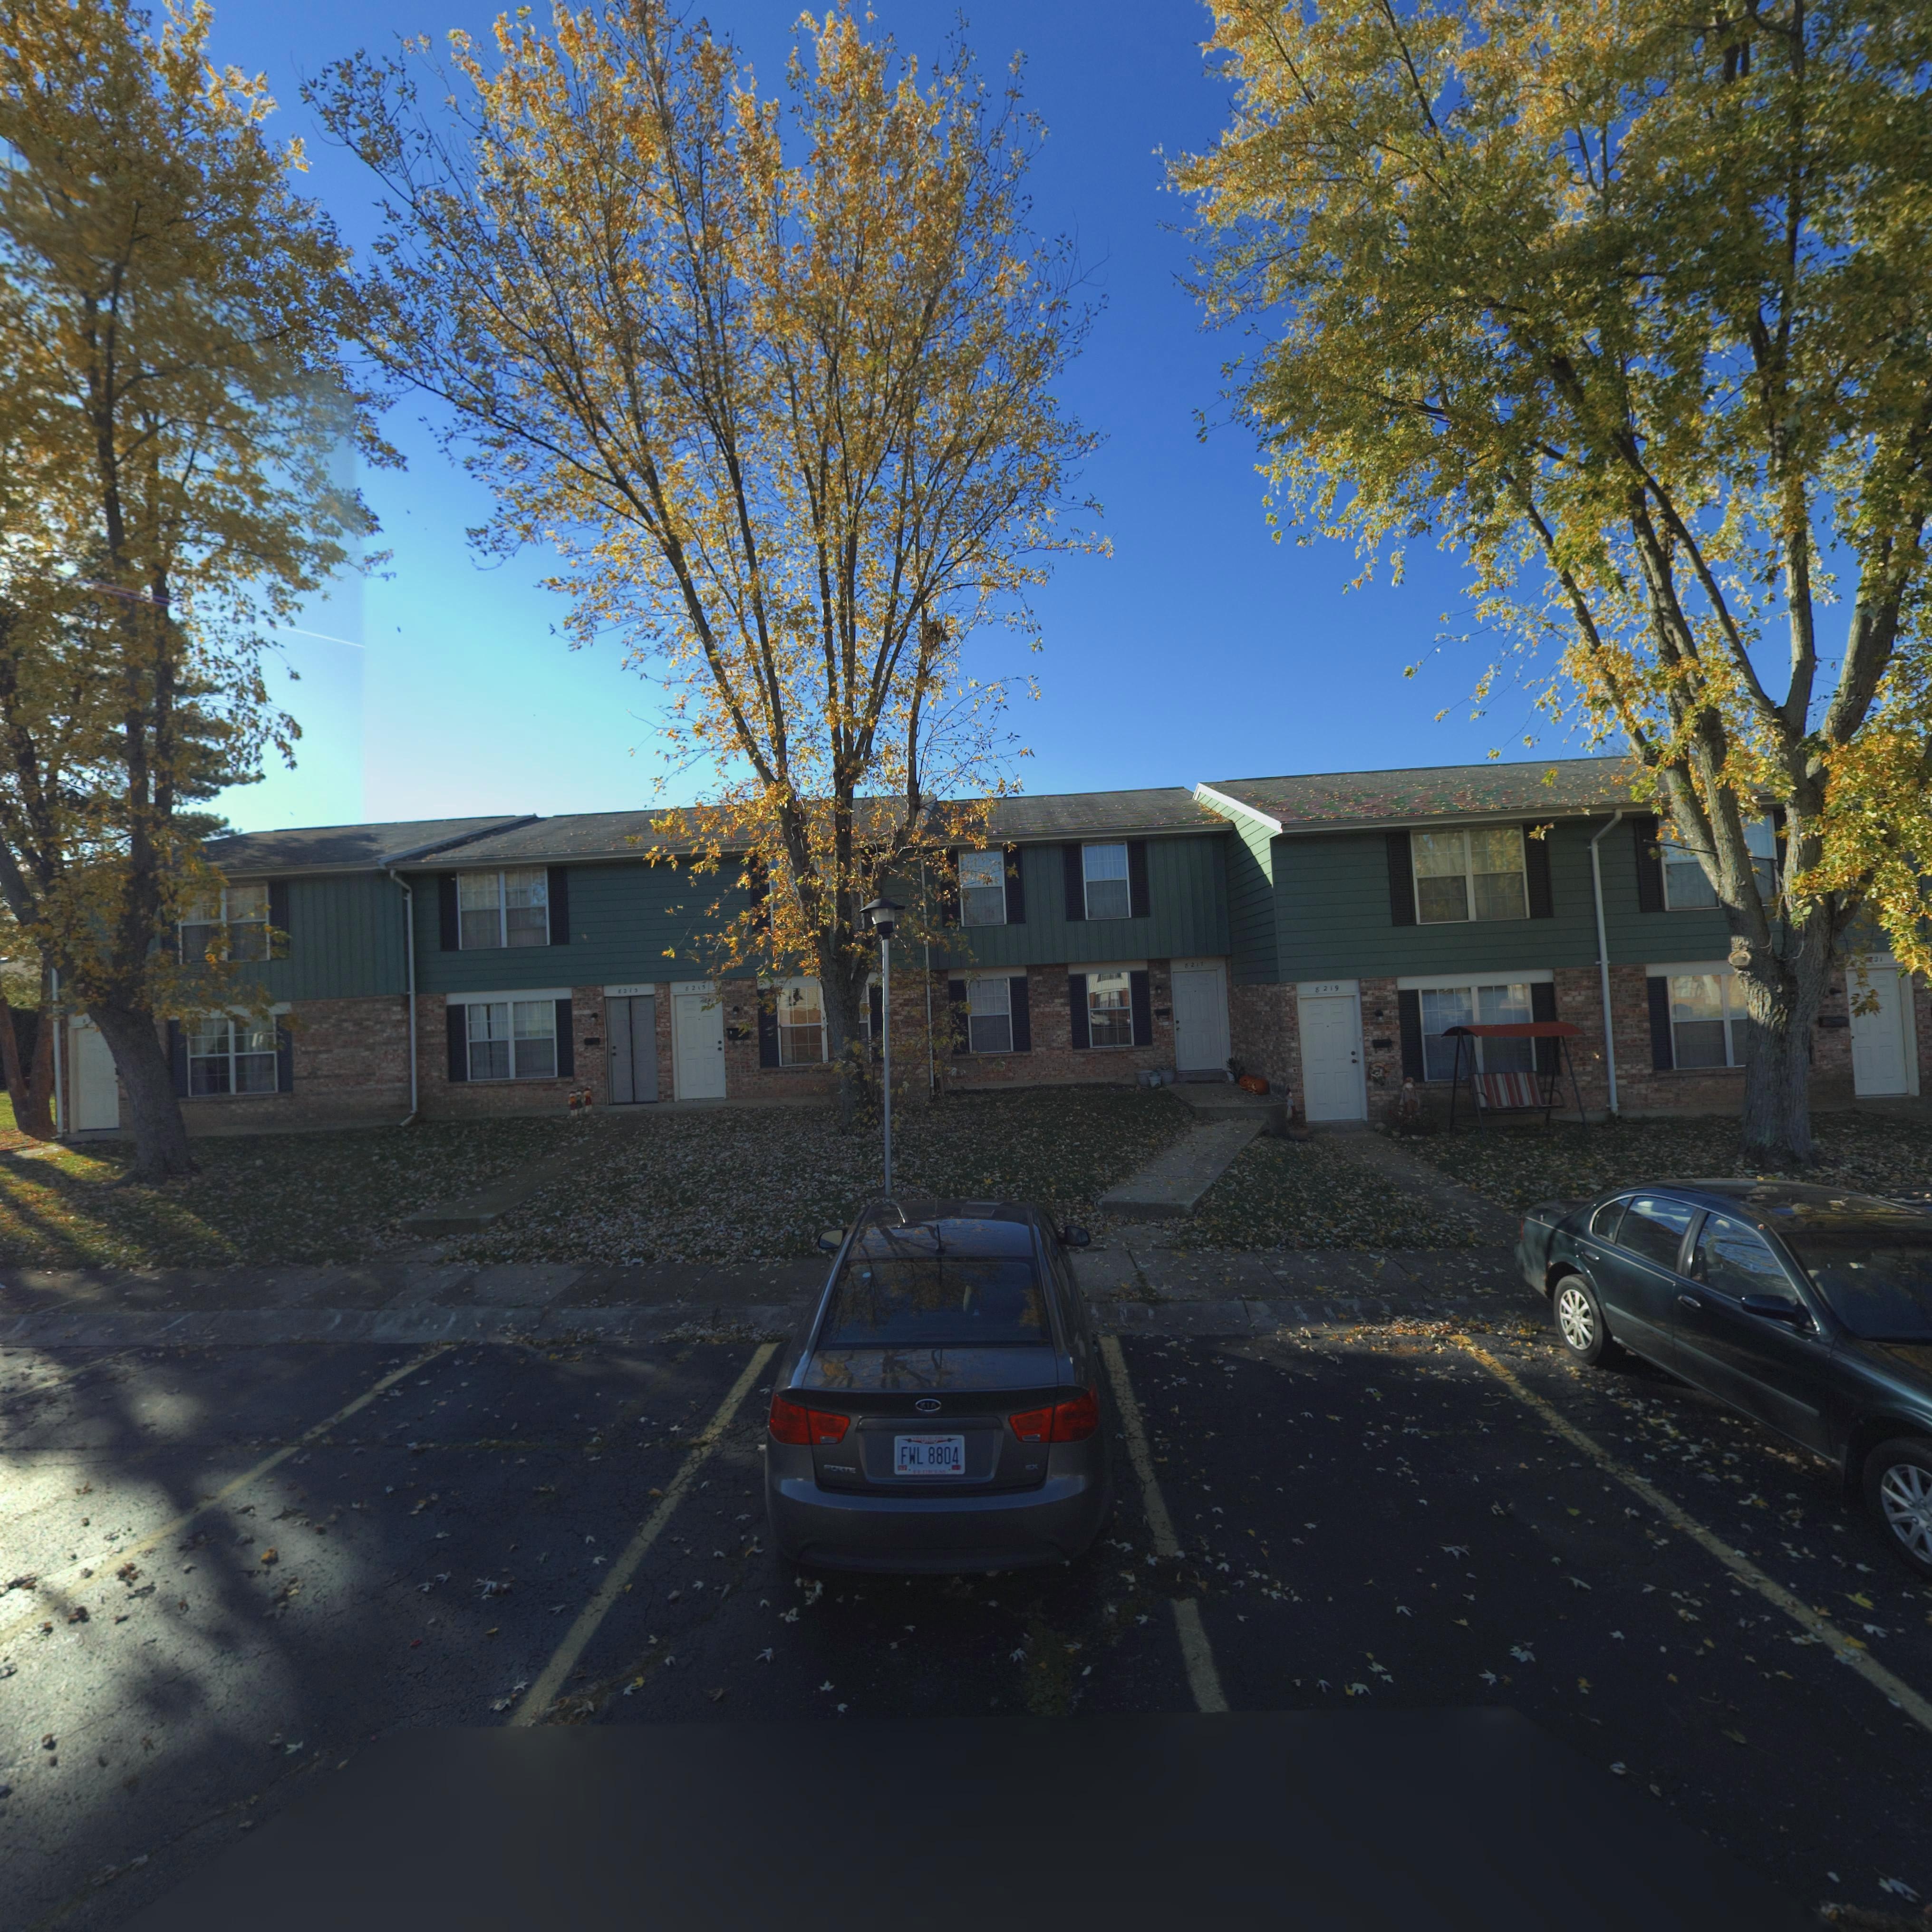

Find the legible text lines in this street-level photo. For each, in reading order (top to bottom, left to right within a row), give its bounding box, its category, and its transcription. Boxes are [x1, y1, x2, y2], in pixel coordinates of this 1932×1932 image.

[1873, 955, 1884, 963] StreetNumber: 21
[1184, 960, 1204, 969] StreetNumber: 8217
[618, 987, 638, 995] StreetNumber: 8213
[685, 984, 706, 992] StreetNumber: 8215
[1314, 985, 1340, 994] StreetNumber: 8219
[82, 1017, 87, 1024] StreetNumber: 8